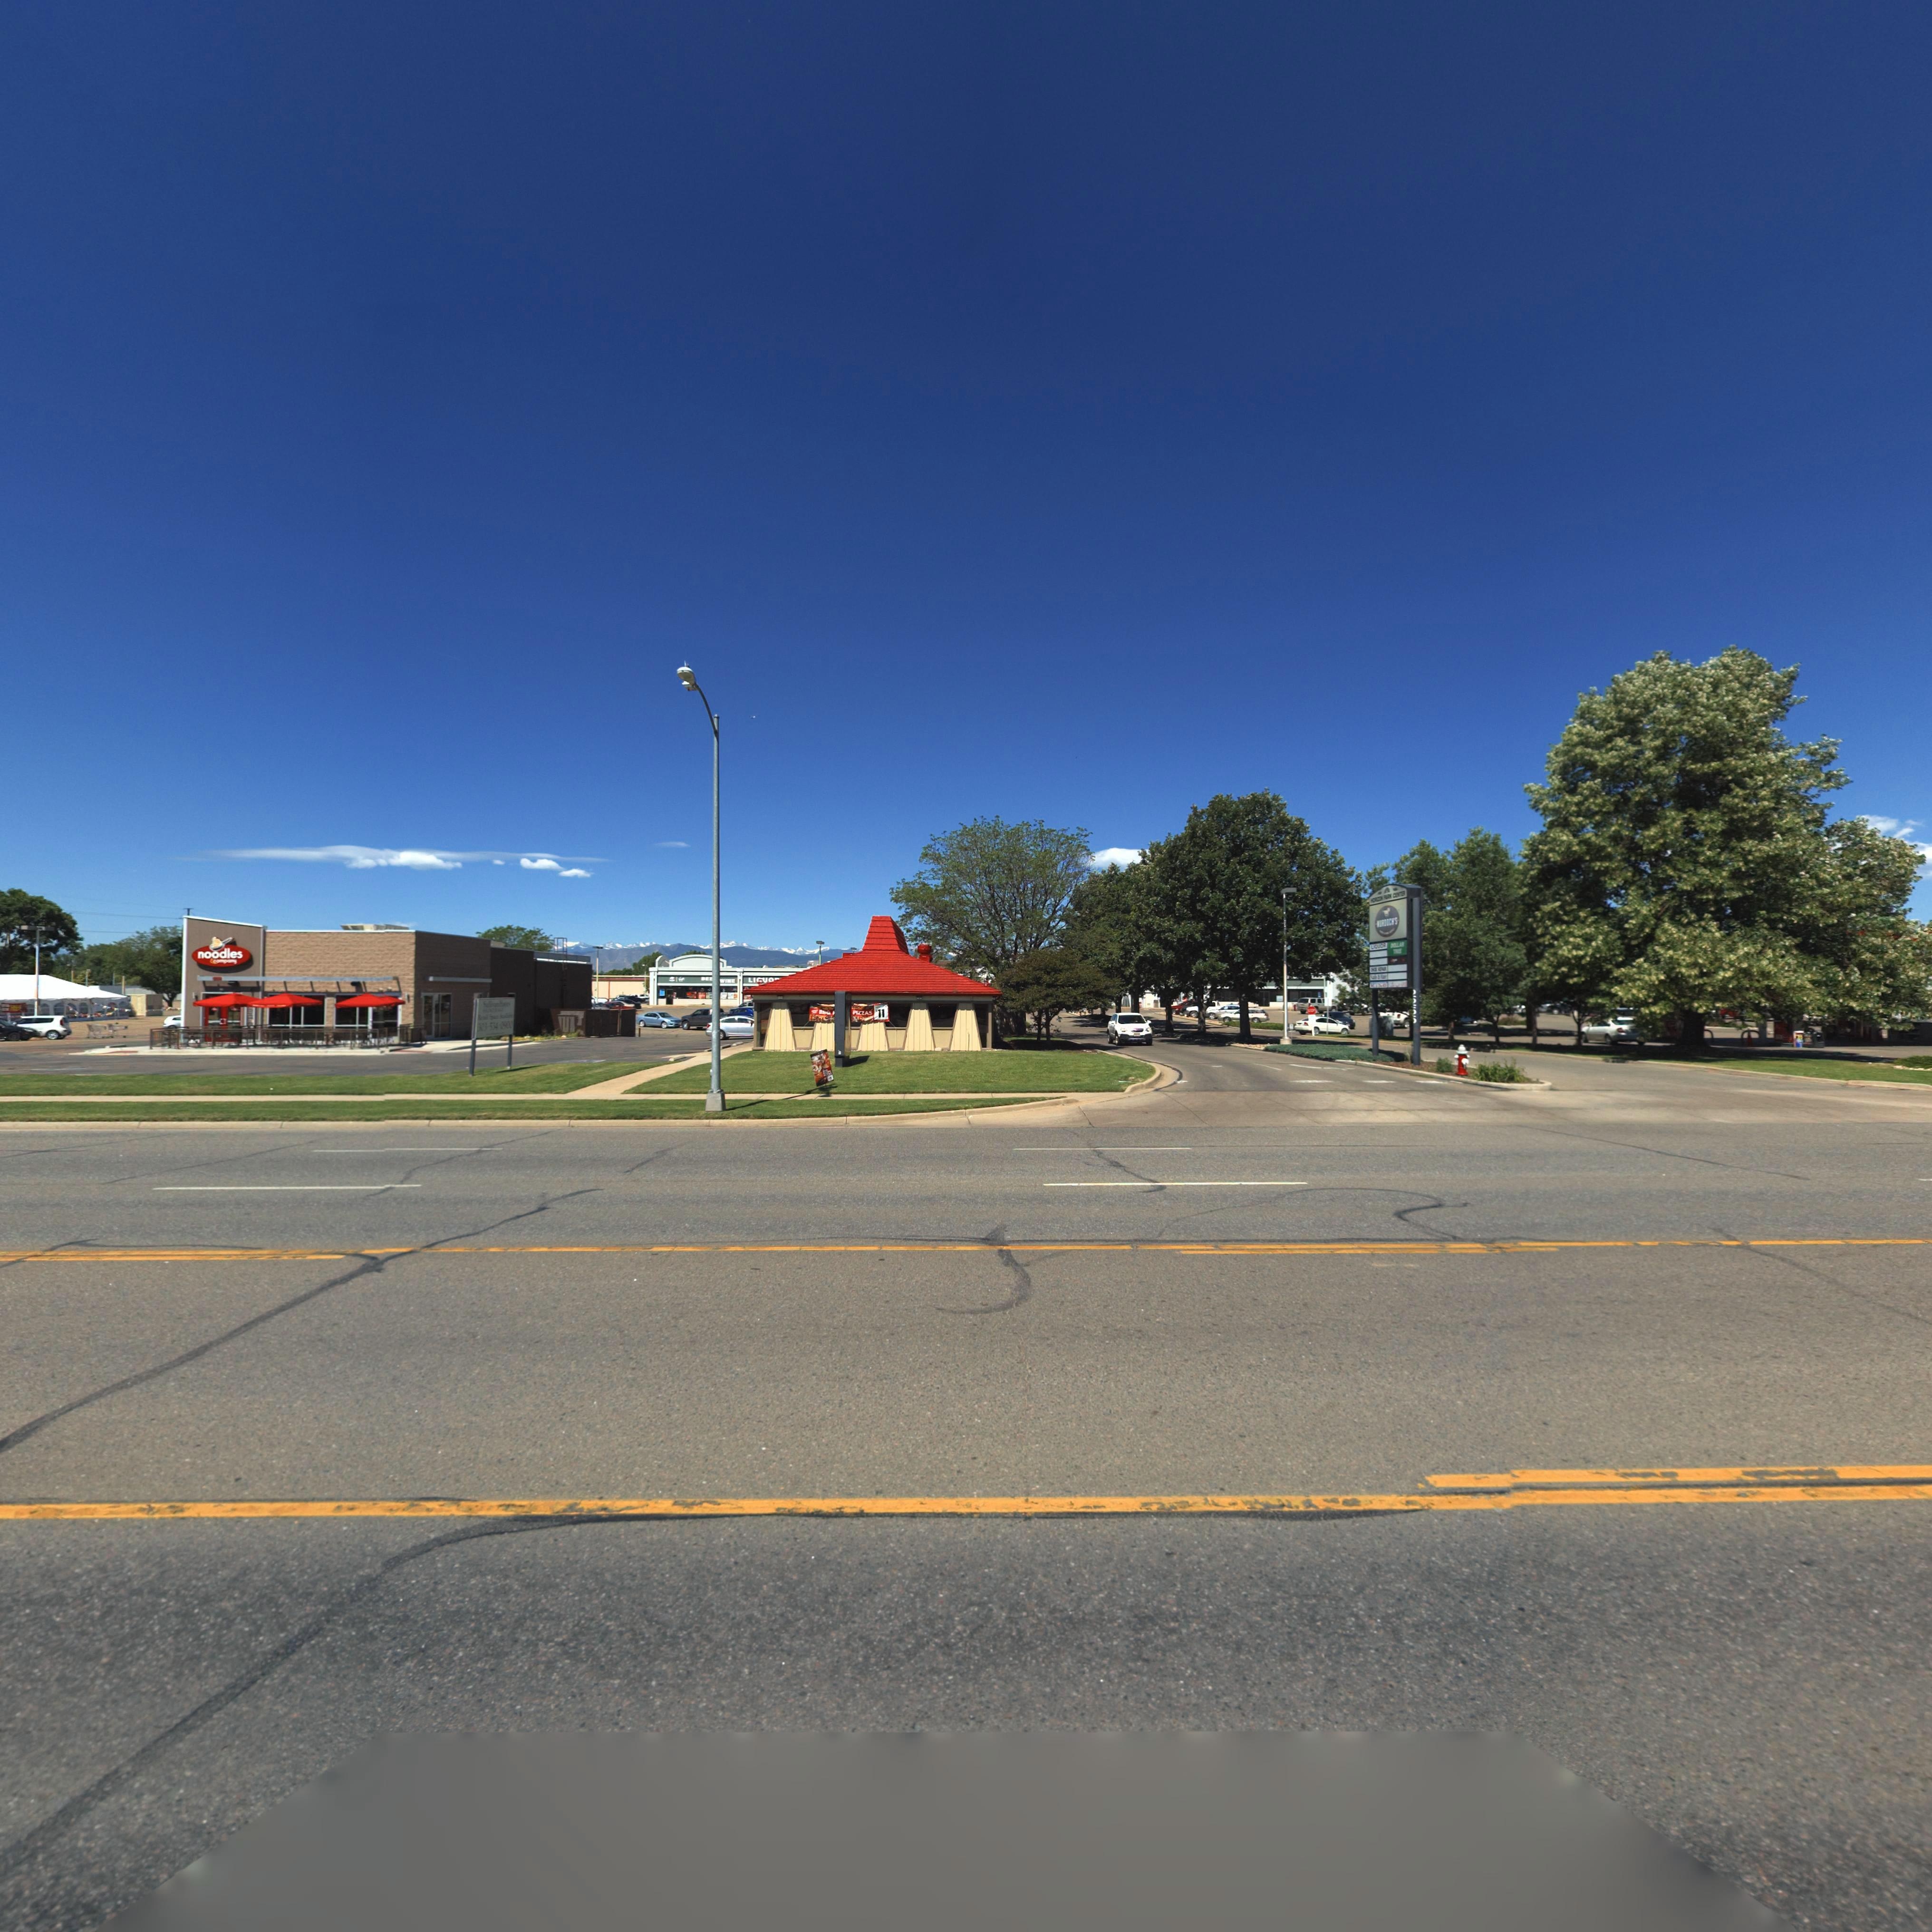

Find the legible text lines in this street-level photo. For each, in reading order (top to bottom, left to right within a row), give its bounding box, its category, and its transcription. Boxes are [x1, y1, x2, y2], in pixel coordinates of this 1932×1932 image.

[1376, 917, 1398, 928] BusinessName: **R**CH'S
[1390, 941, 1404, 948] BusinessName: DOLLAR
[197, 947, 243, 959] BusinessName: noodles
[1392, 948, 1402, 954] BusinessName: TREE
[209, 957, 237, 965] BusinessName: &co*p**y
[1411, 988, 1417, 1025] StreetNumber: 2255